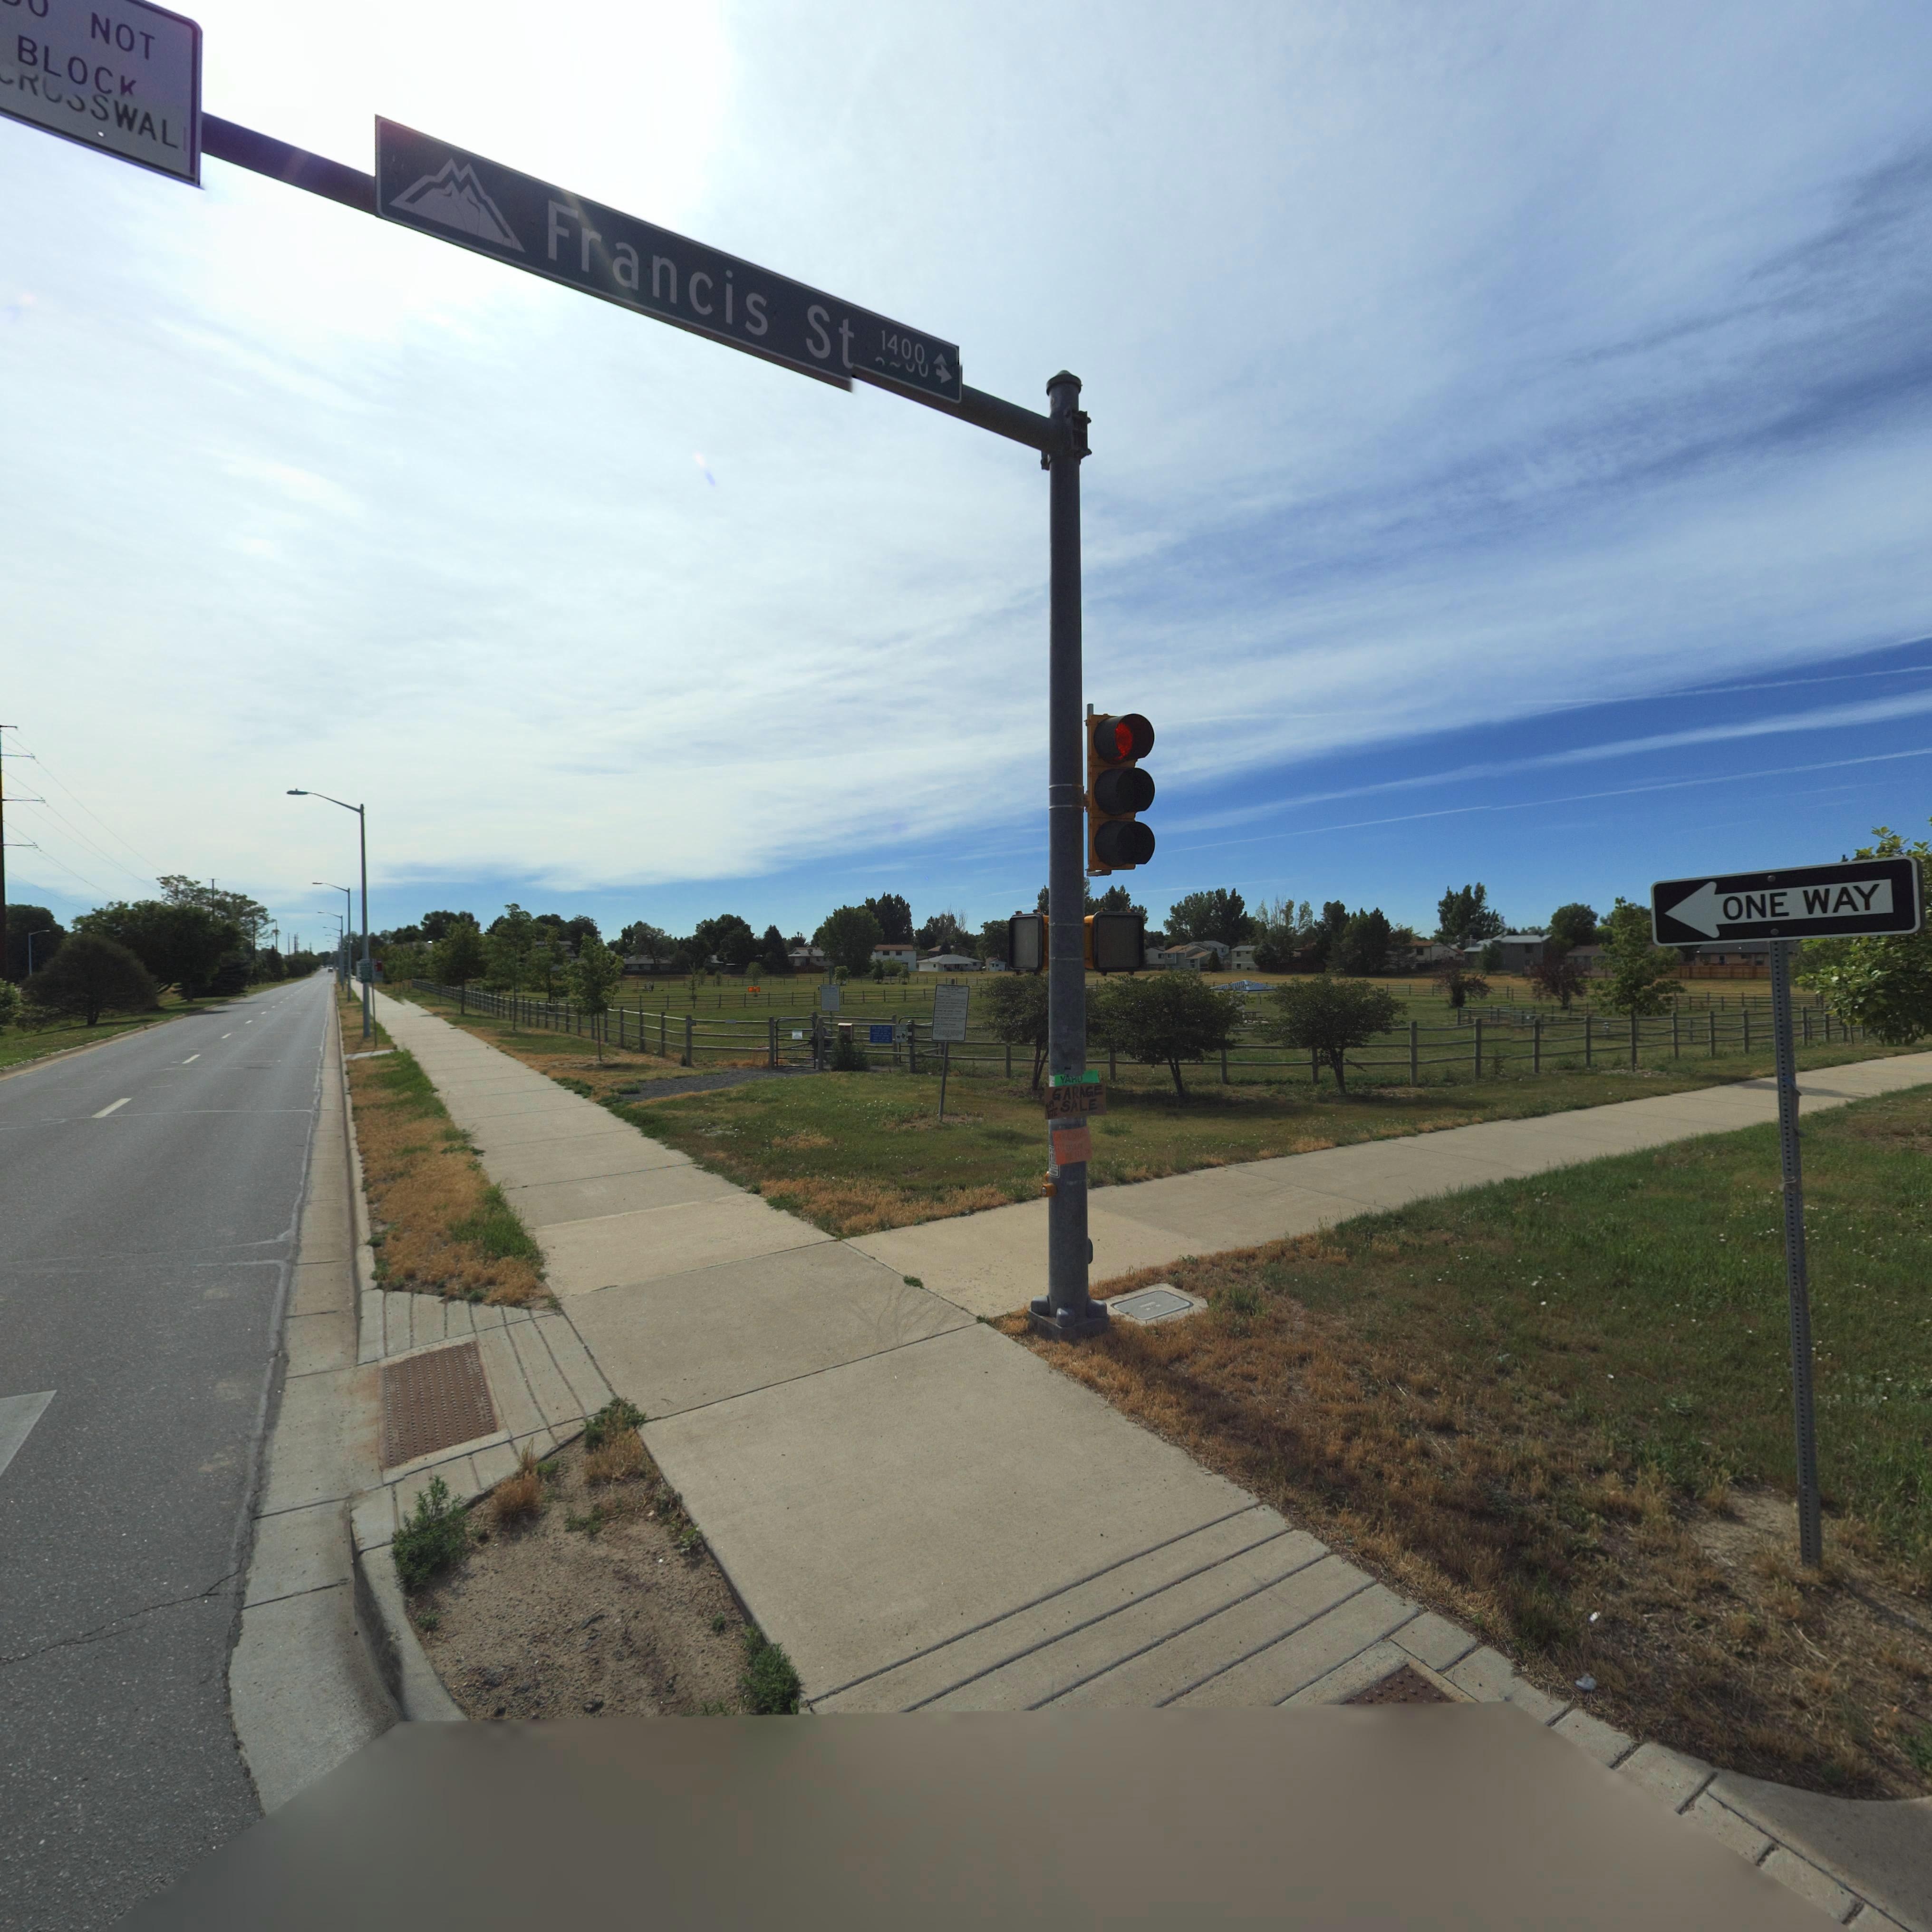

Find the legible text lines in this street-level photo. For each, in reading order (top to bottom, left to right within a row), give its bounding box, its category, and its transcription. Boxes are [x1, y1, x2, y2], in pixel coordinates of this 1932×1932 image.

[546, 198, 854, 369] StreetName: Francis St
[880, 329, 925, 365] StreetNumberRange: 1400